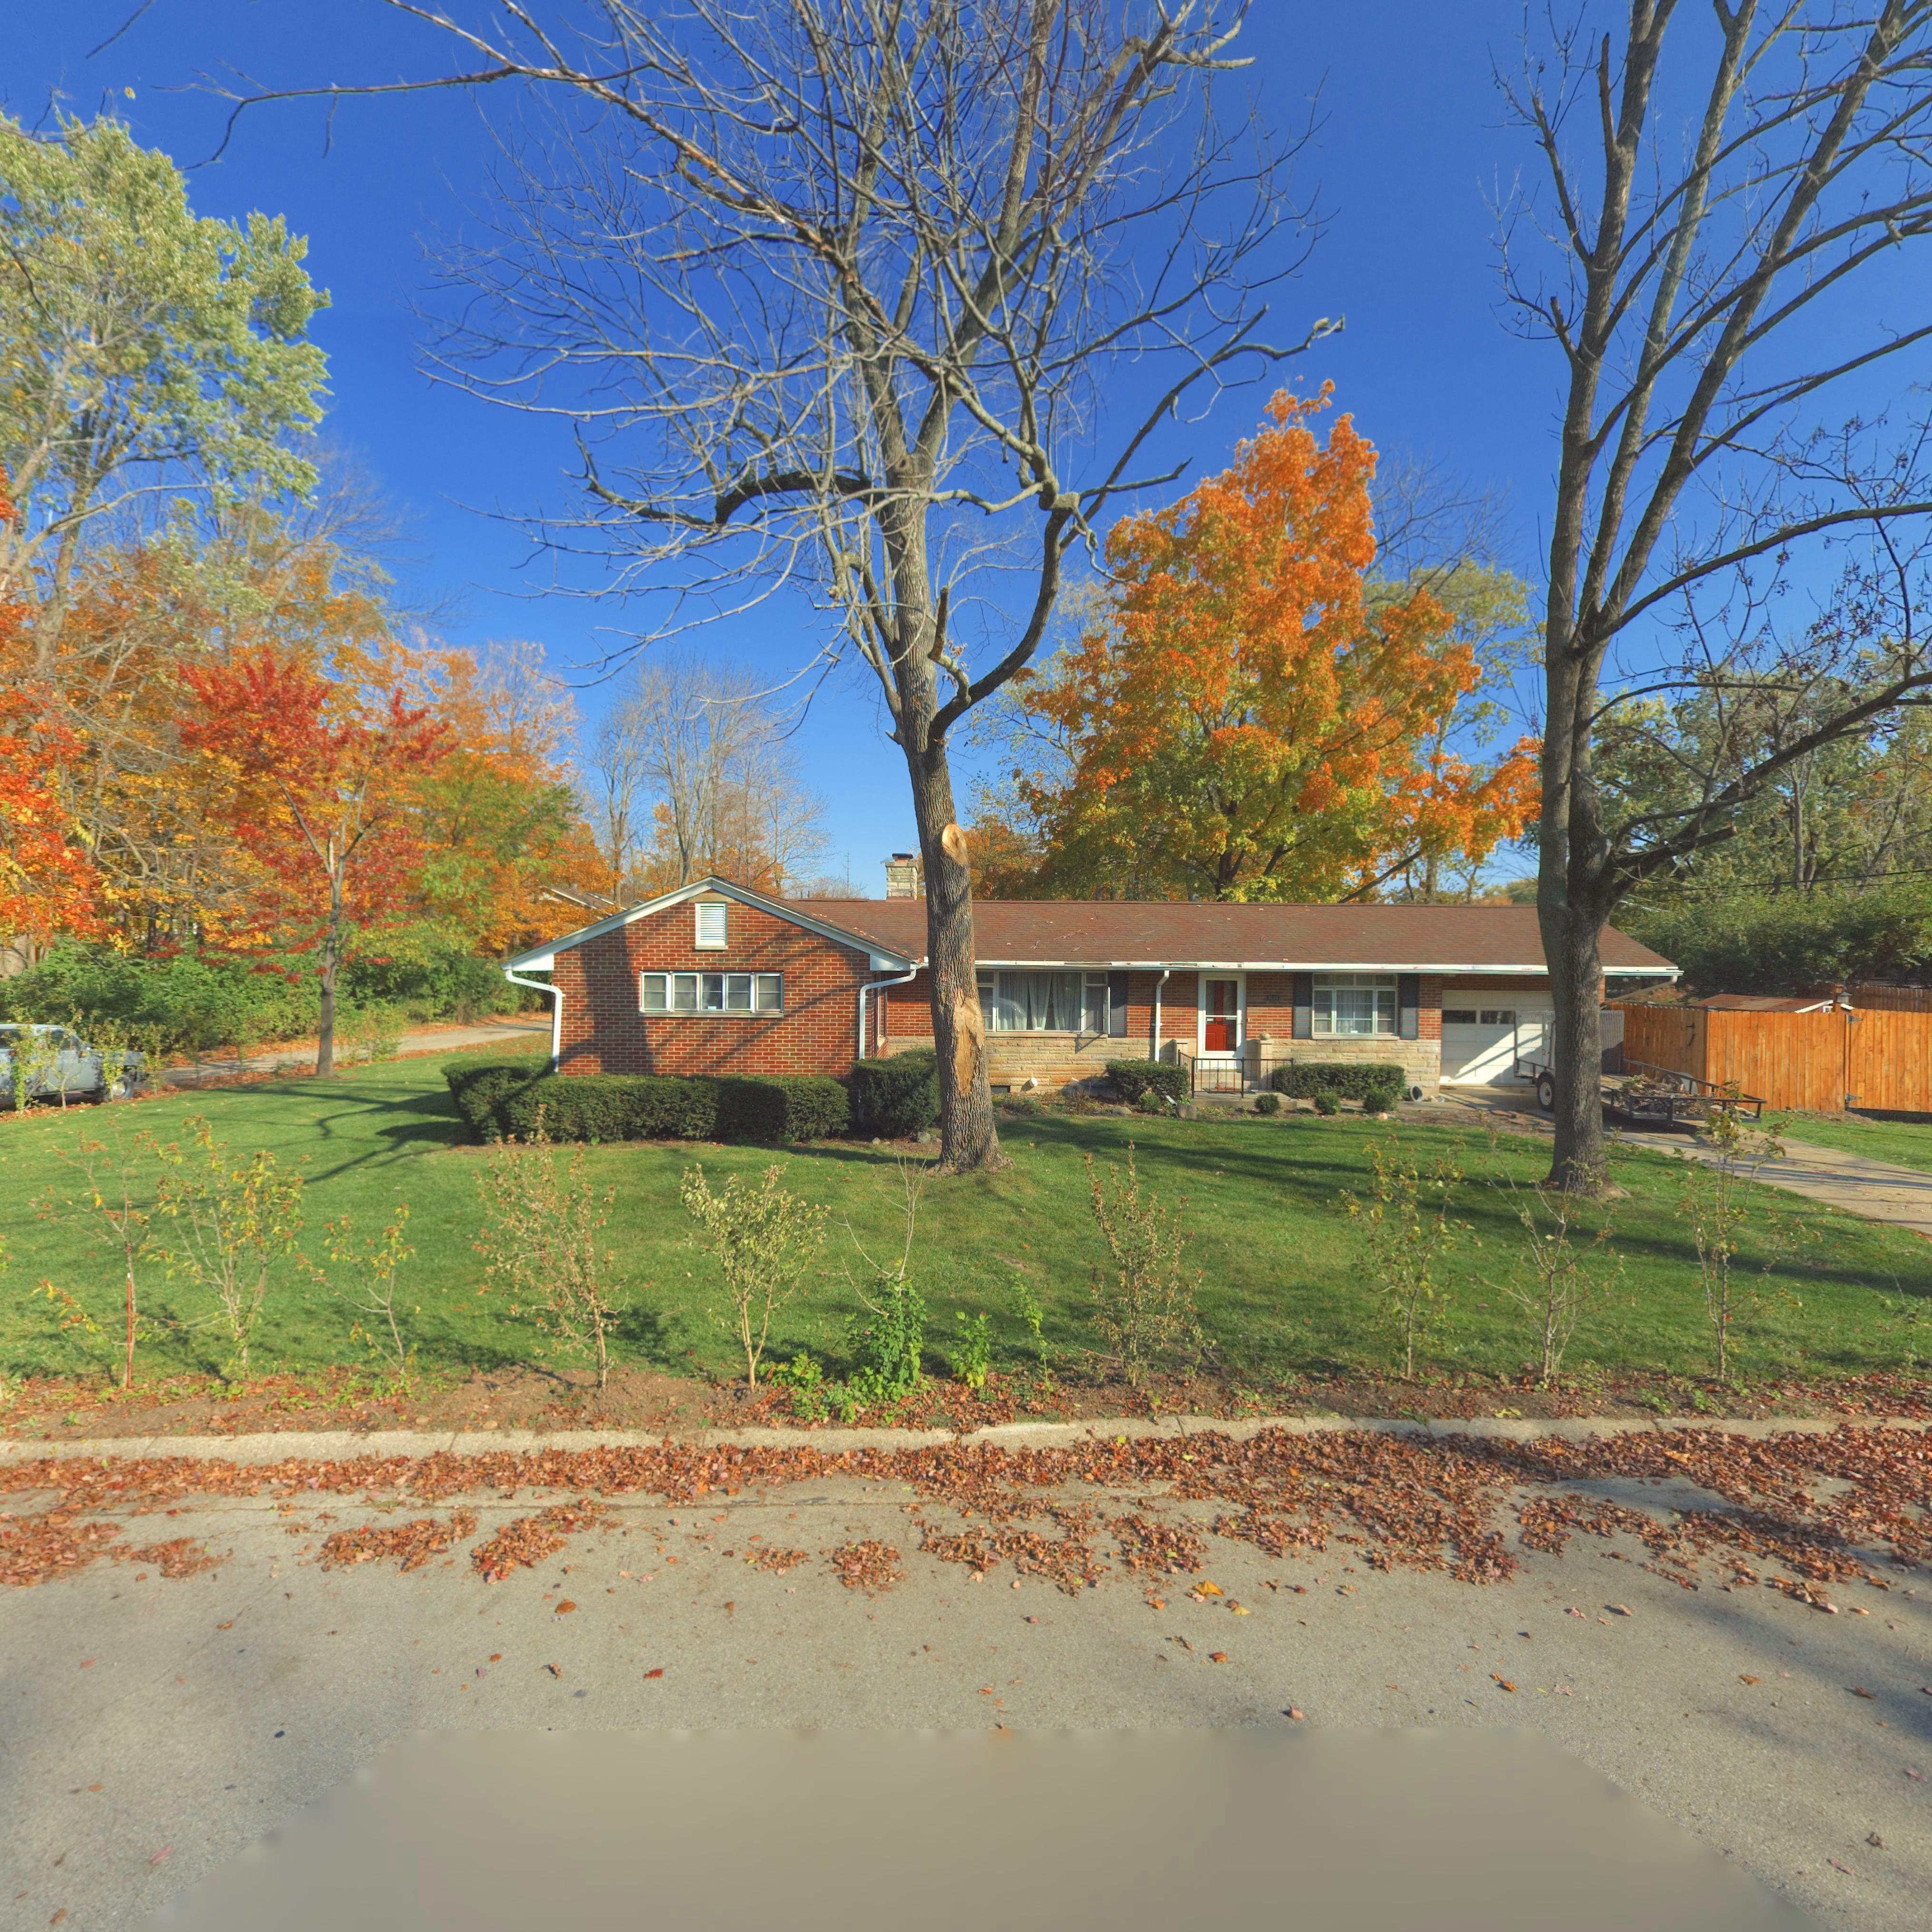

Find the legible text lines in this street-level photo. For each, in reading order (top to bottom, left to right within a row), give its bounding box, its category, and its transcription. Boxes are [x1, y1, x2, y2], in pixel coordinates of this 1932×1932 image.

[1267, 995, 1279, 1000] StreetNumber: 3***